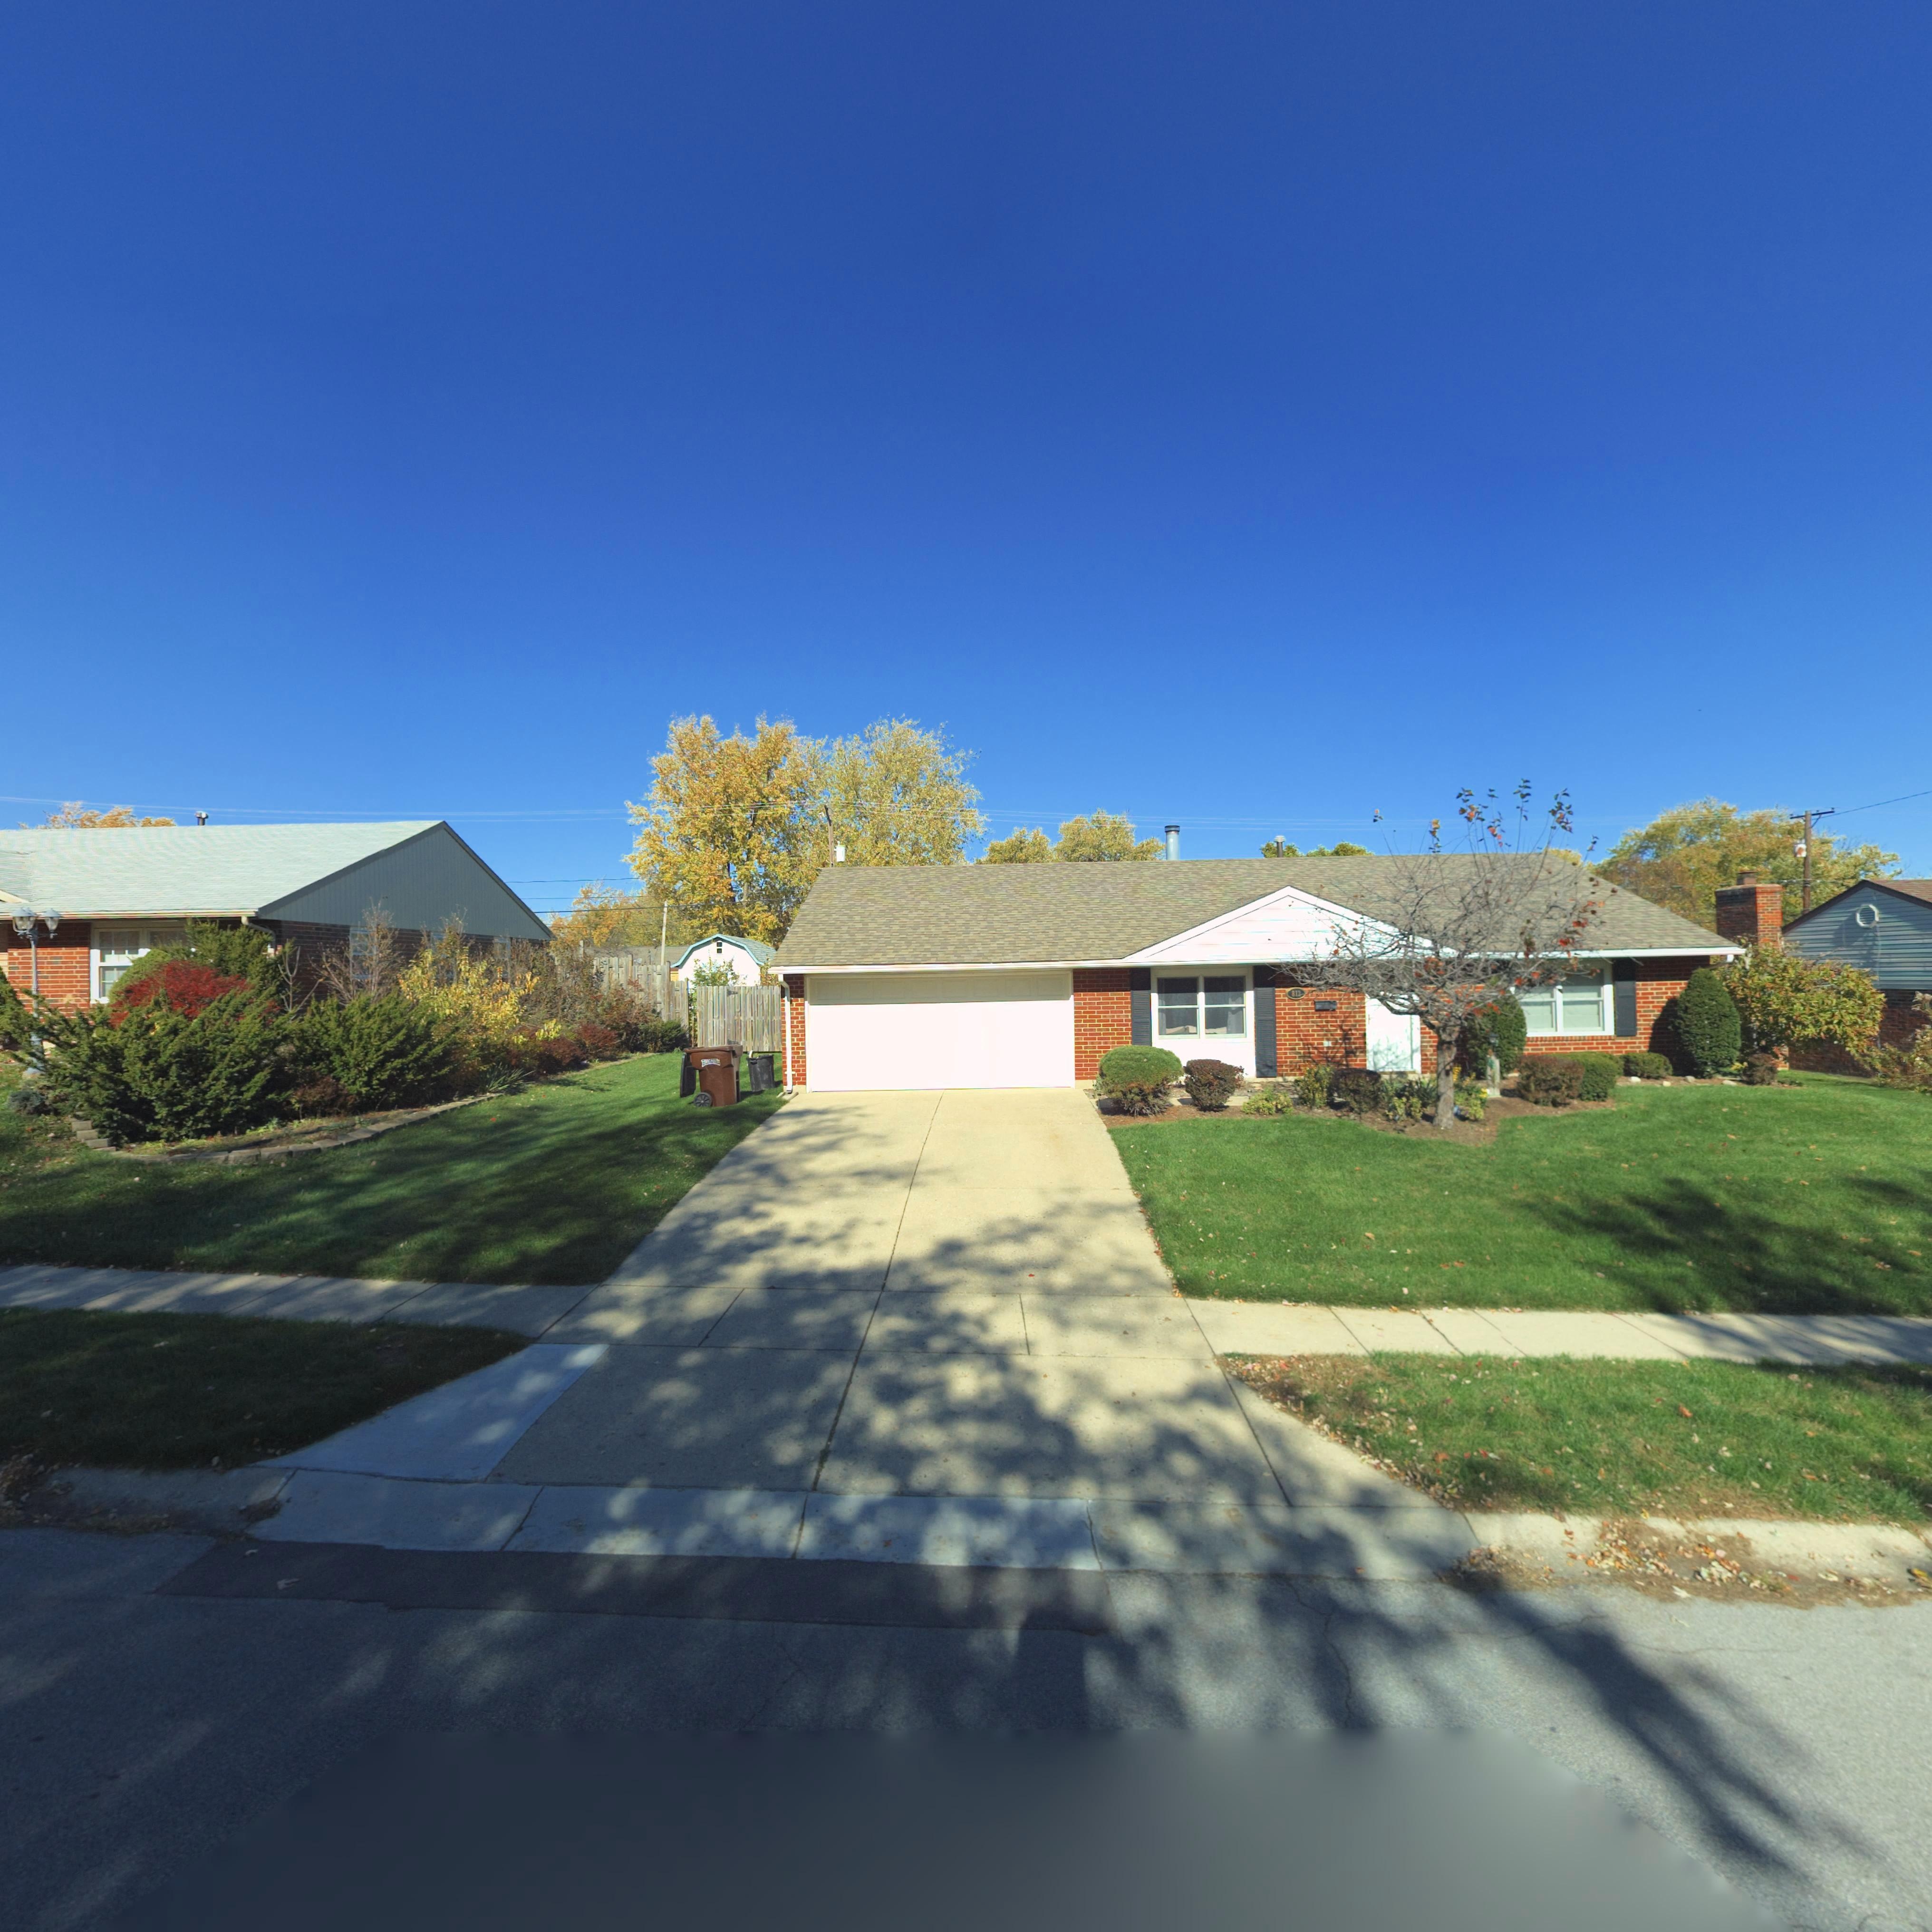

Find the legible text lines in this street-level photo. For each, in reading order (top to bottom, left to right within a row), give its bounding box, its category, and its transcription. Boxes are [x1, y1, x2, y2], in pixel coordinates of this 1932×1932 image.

[1291, 990, 1301, 997] StreetNumber: 812